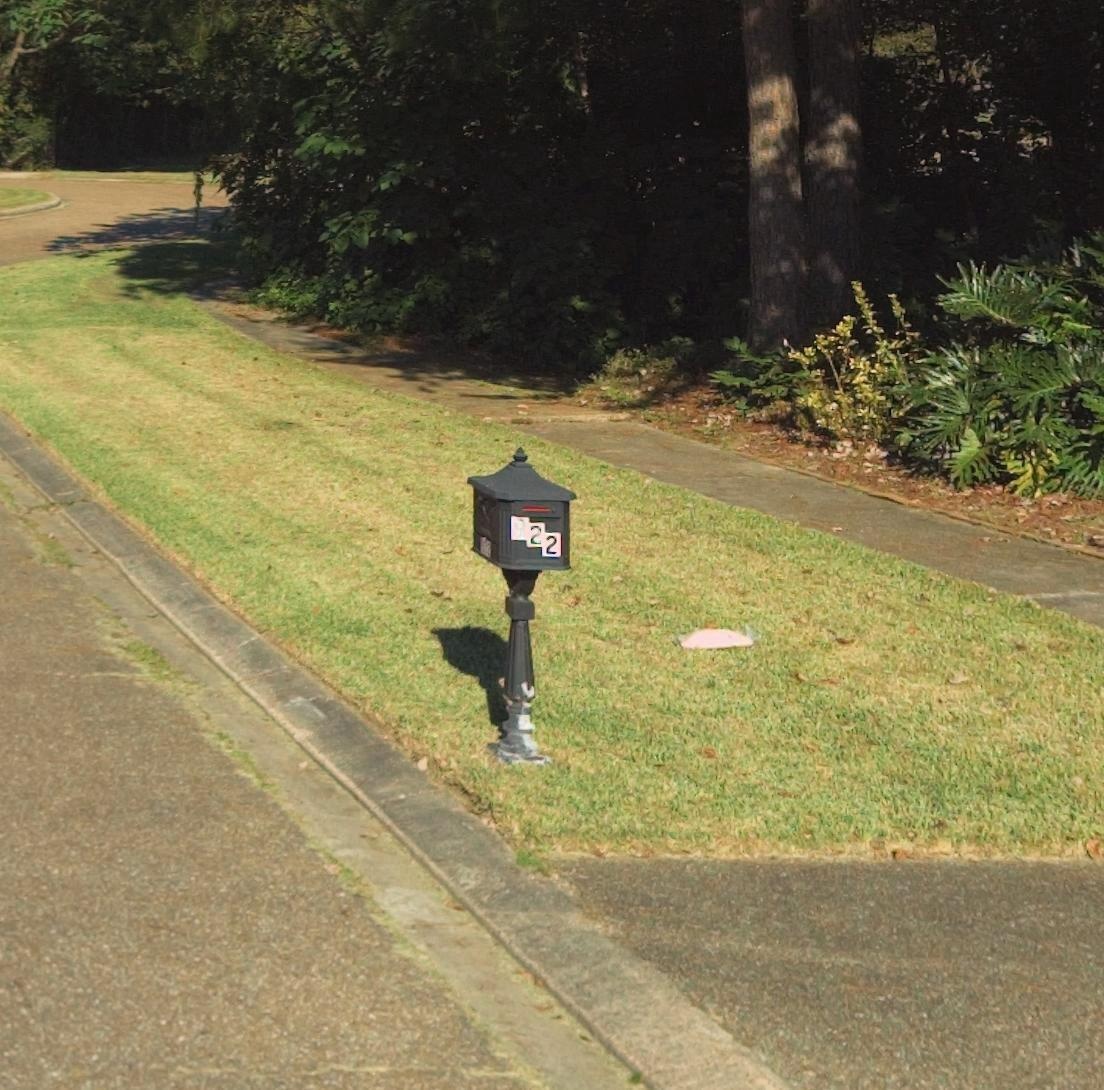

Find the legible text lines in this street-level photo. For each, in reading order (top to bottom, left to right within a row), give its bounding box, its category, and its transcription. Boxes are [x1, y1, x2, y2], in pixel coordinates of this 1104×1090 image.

[511, 516, 559, 557] StreetNumber: *22